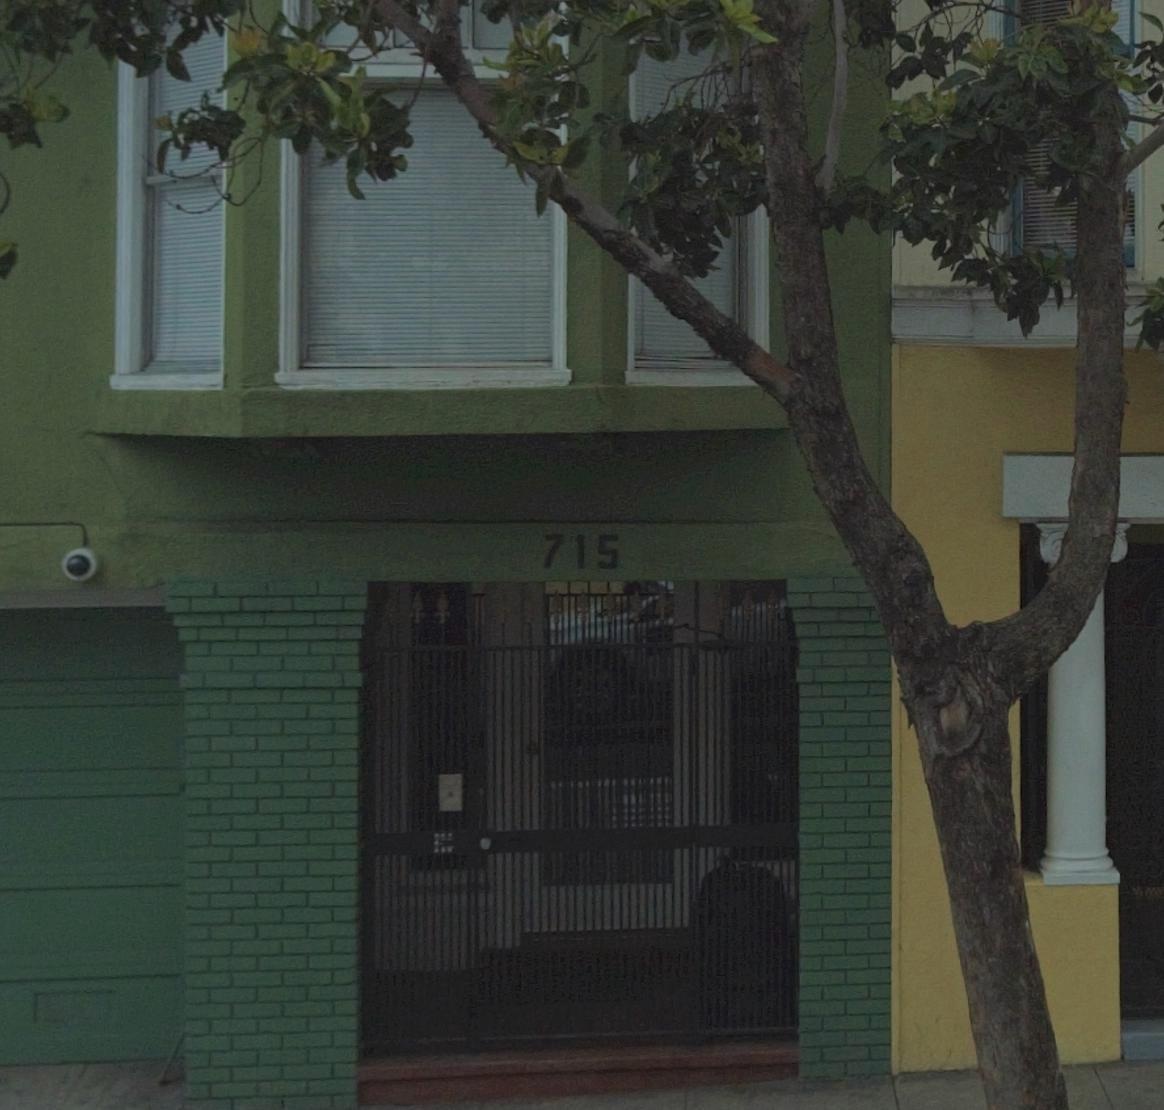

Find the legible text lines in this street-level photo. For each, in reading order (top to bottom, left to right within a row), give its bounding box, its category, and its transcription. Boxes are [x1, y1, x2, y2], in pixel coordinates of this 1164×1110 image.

[538, 530, 621, 573] StreetNumber: 715